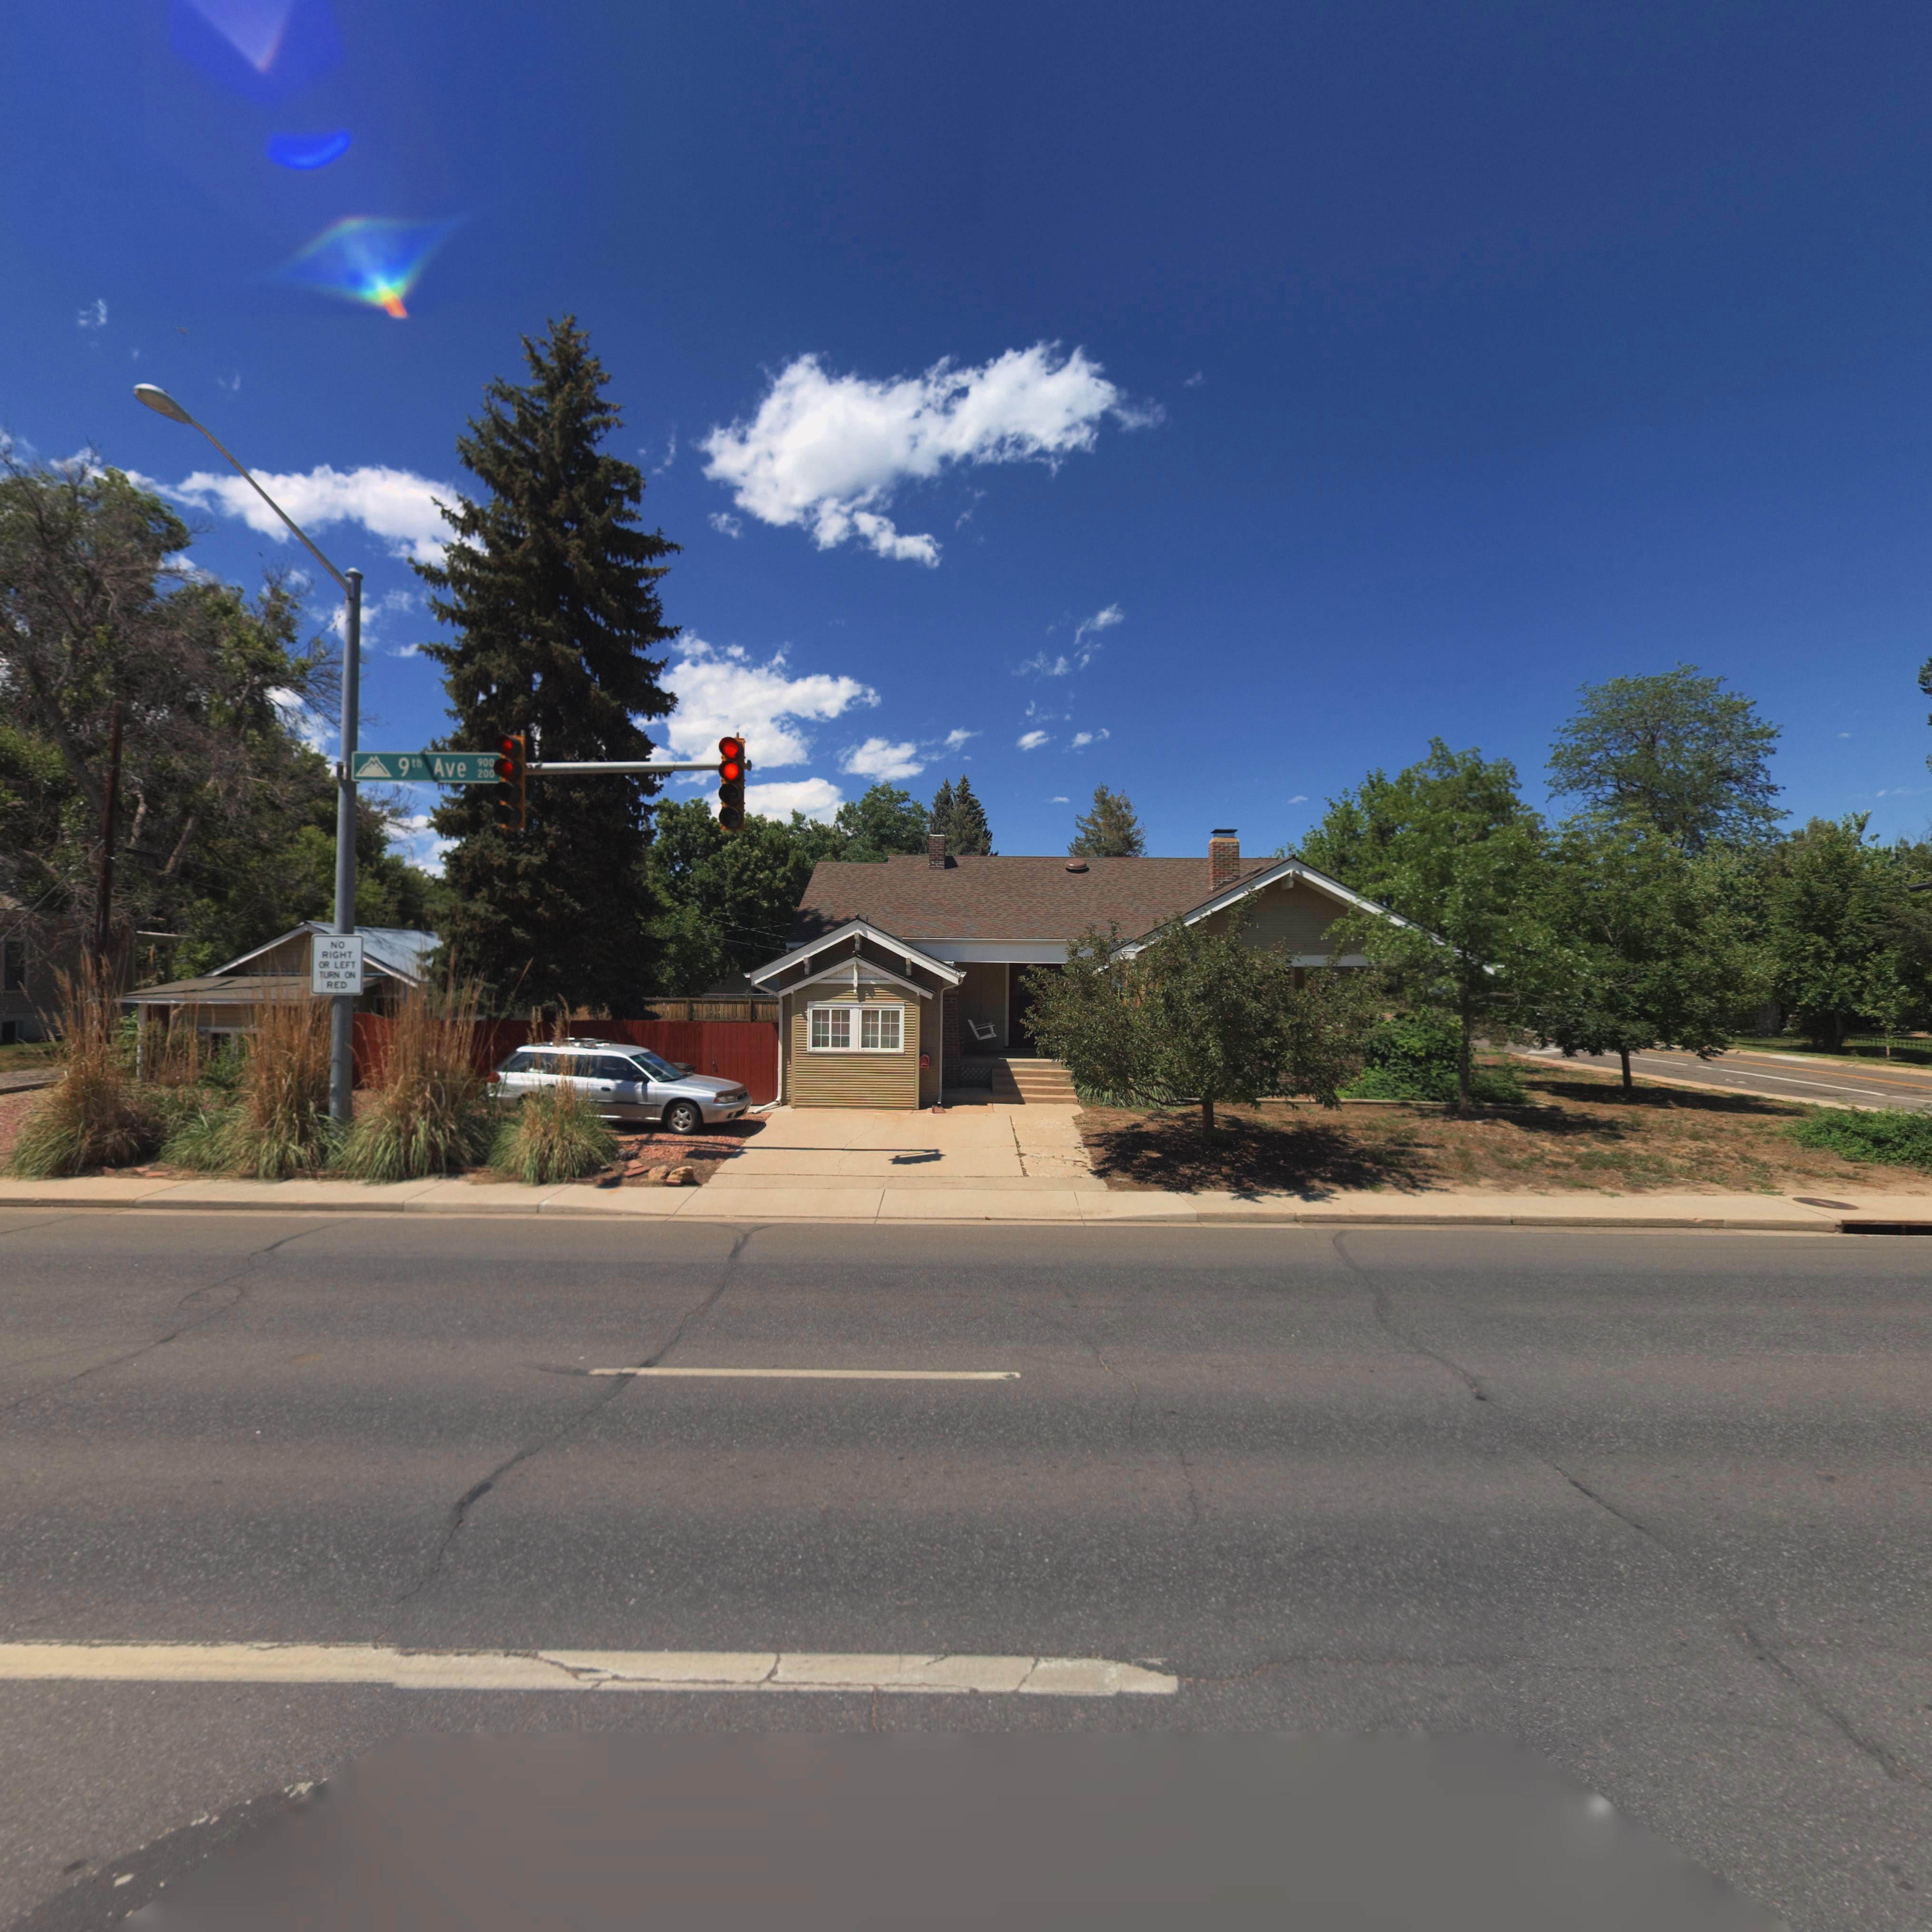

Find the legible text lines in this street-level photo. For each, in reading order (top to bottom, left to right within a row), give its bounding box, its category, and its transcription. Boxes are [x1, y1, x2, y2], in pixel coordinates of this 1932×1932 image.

[397, 756, 466, 778] StreetName: 9th Ave
[477, 757, 495, 767] StreetNumberRange: 900
[477, 769, 495, 778] StreetNumberRange: 200